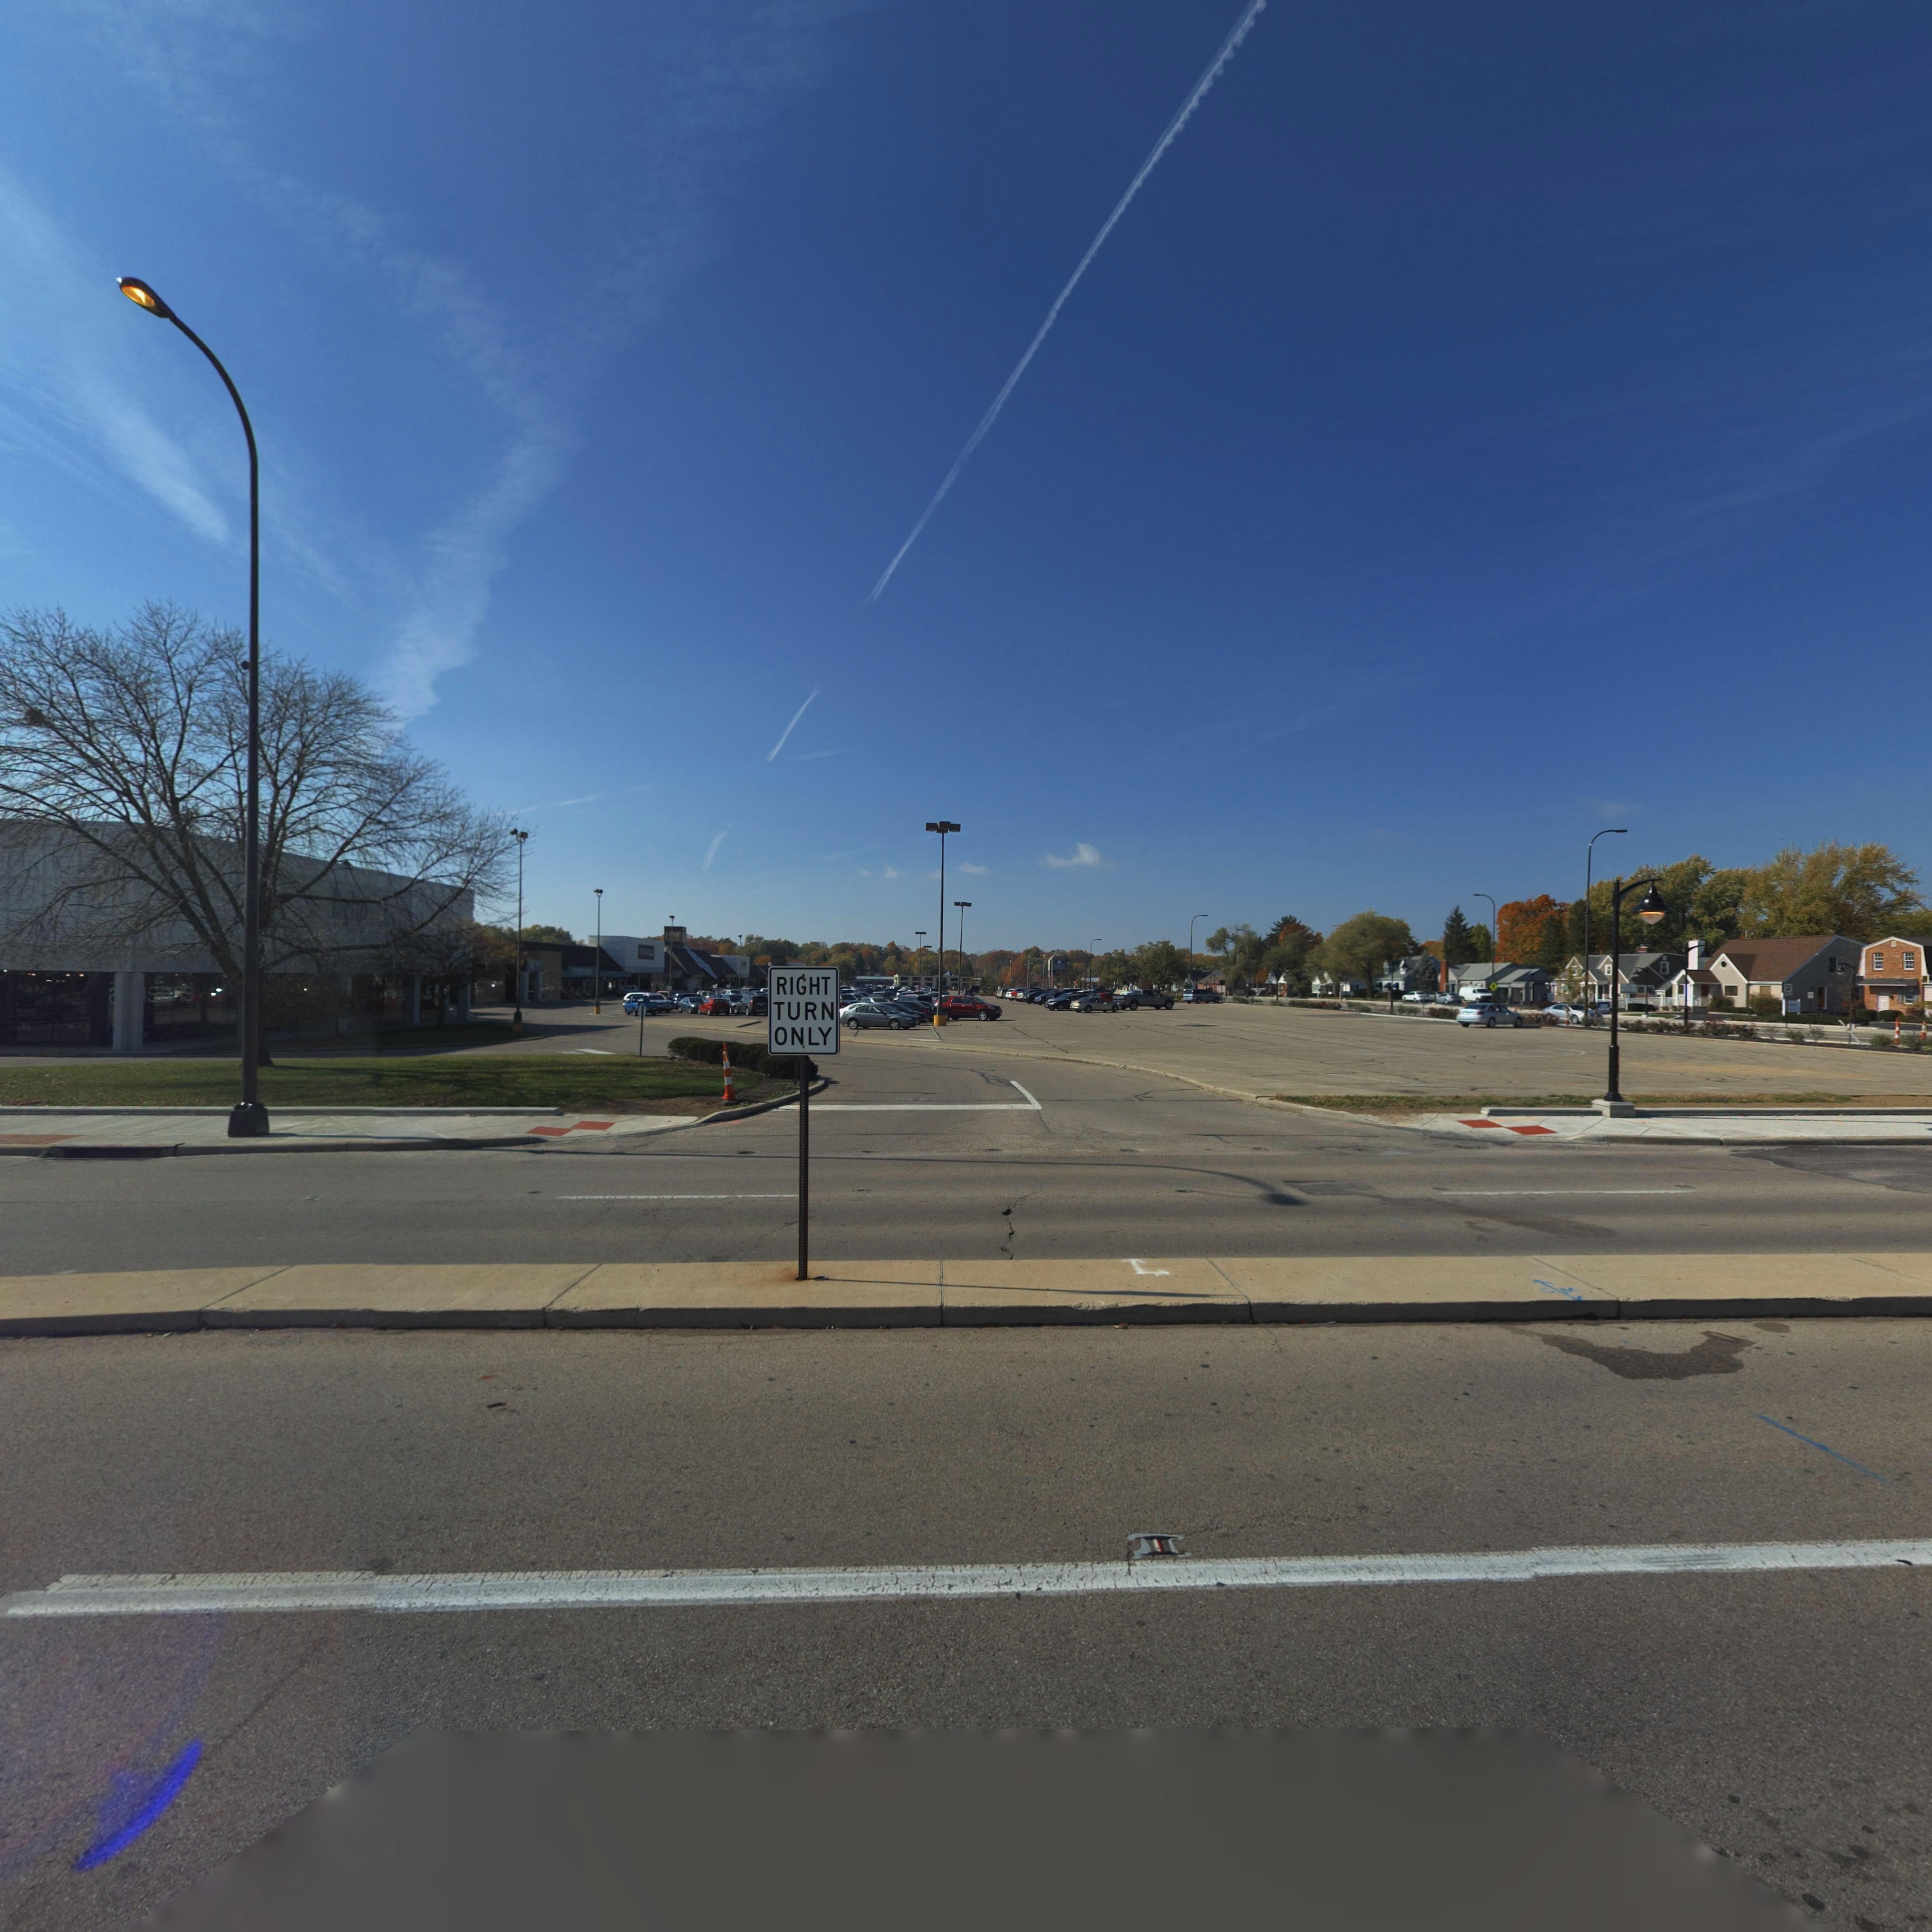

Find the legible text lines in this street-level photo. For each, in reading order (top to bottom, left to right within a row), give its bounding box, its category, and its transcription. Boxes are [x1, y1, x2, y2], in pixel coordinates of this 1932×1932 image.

[147, 986, 194, 1003] None: s*ns
[776, 976, 831, 996] None: RIGHT
[773, 1001, 834, 1021] None: TURN
[774, 1026, 833, 1046] None: ONLY